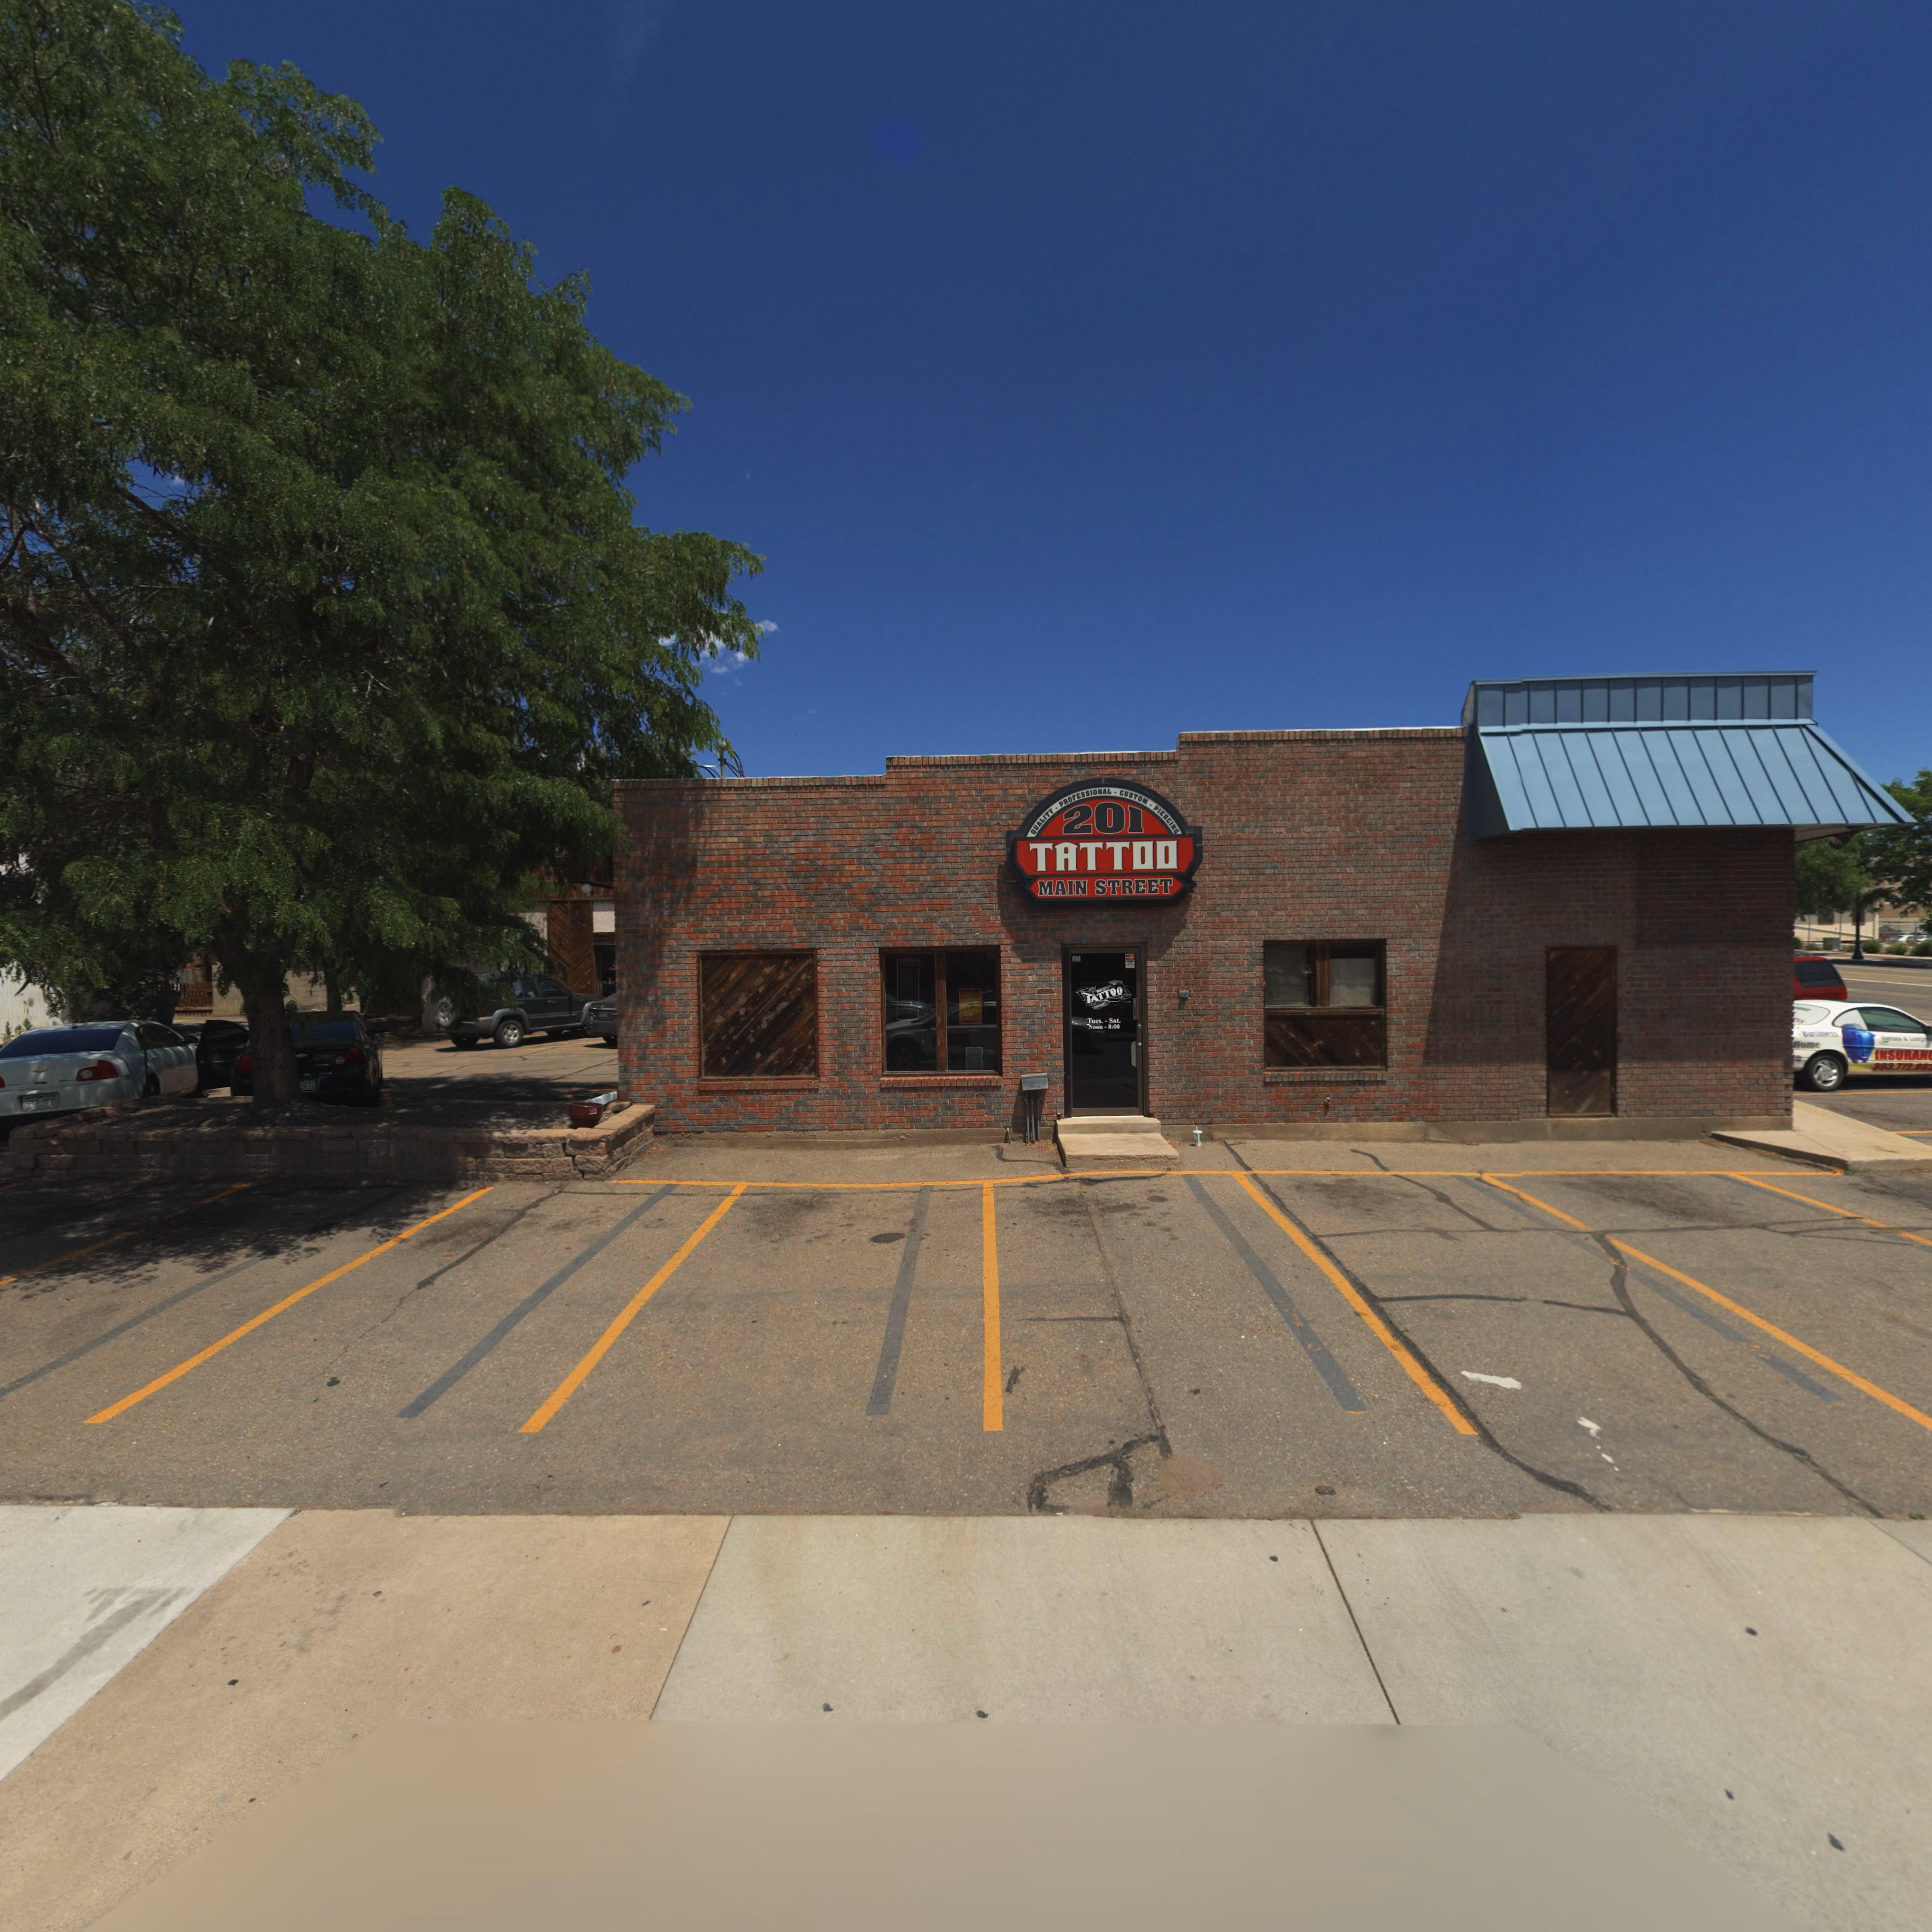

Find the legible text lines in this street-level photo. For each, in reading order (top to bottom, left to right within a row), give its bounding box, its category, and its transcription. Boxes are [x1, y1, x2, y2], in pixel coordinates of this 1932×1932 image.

[1062, 800, 1144, 835] StreetNumber: 201
[1028, 839, 1180, 872] BusinessName: TATTOO
[1038, 878, 1173, 896] BusinessName: MAIN STREET